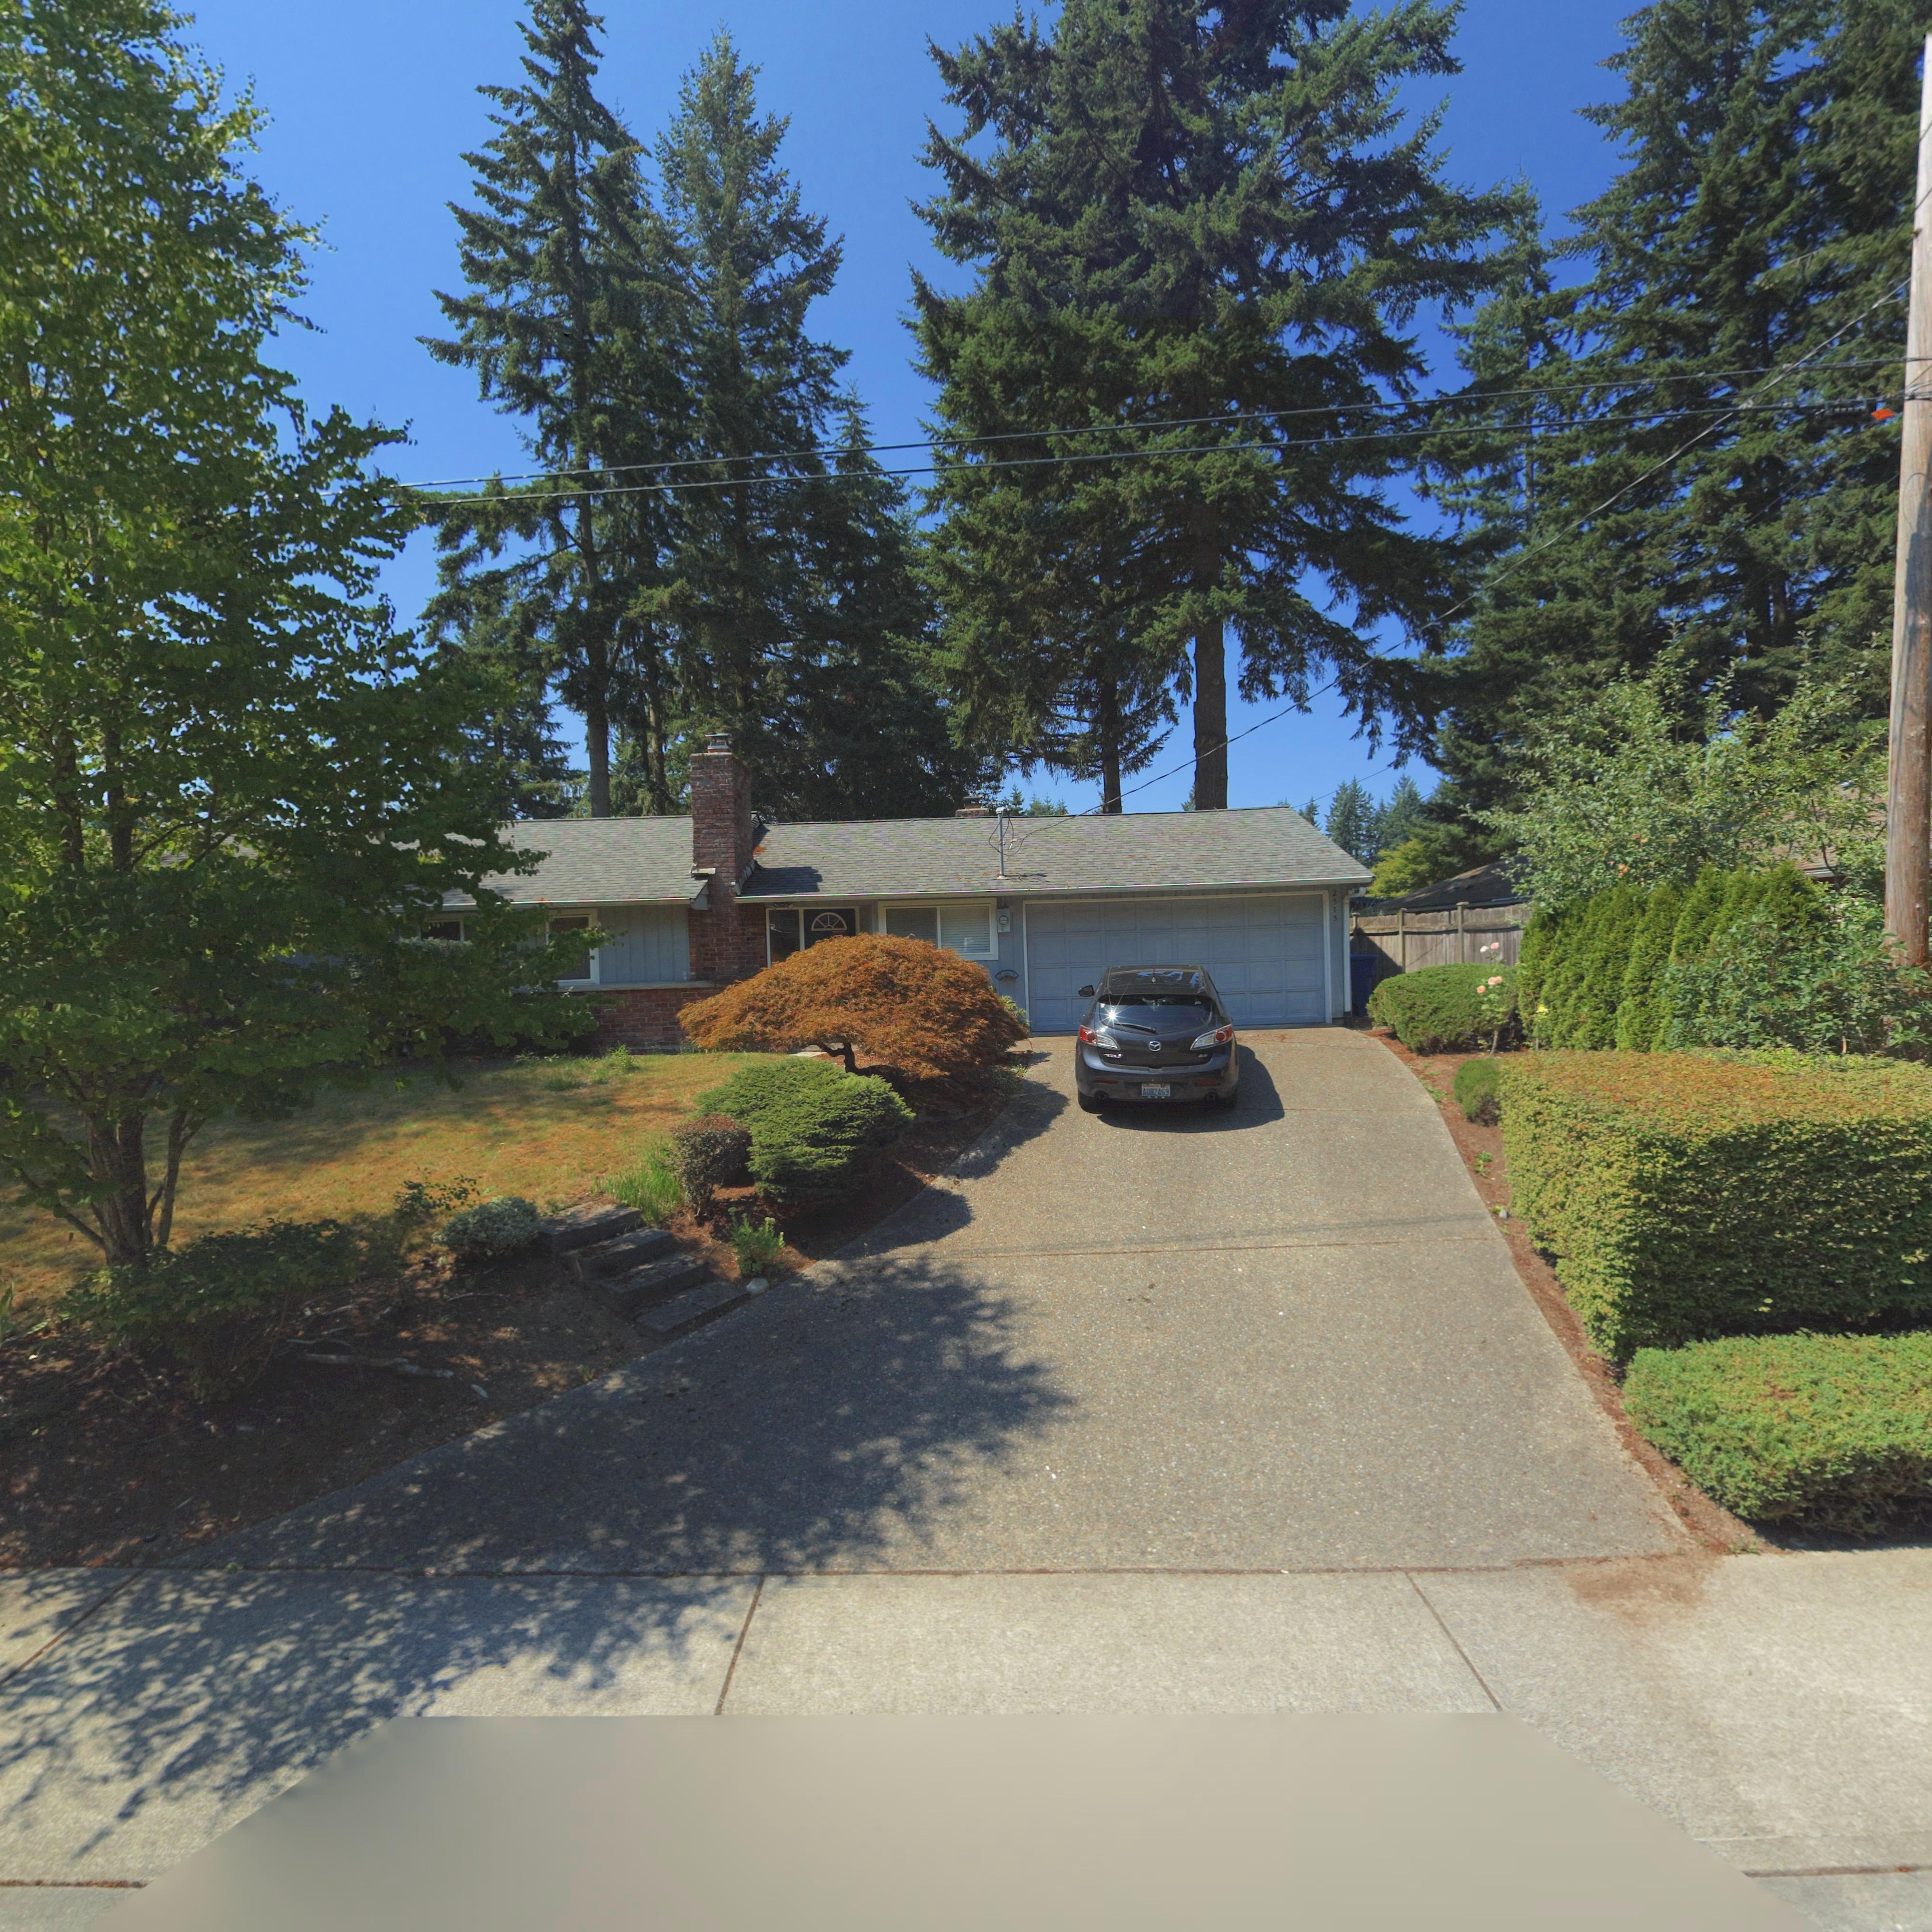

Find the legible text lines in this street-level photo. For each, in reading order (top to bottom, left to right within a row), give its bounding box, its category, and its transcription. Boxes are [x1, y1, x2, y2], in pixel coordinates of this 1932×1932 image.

[1333, 889, 1337, 921] StreetNumber: 2515